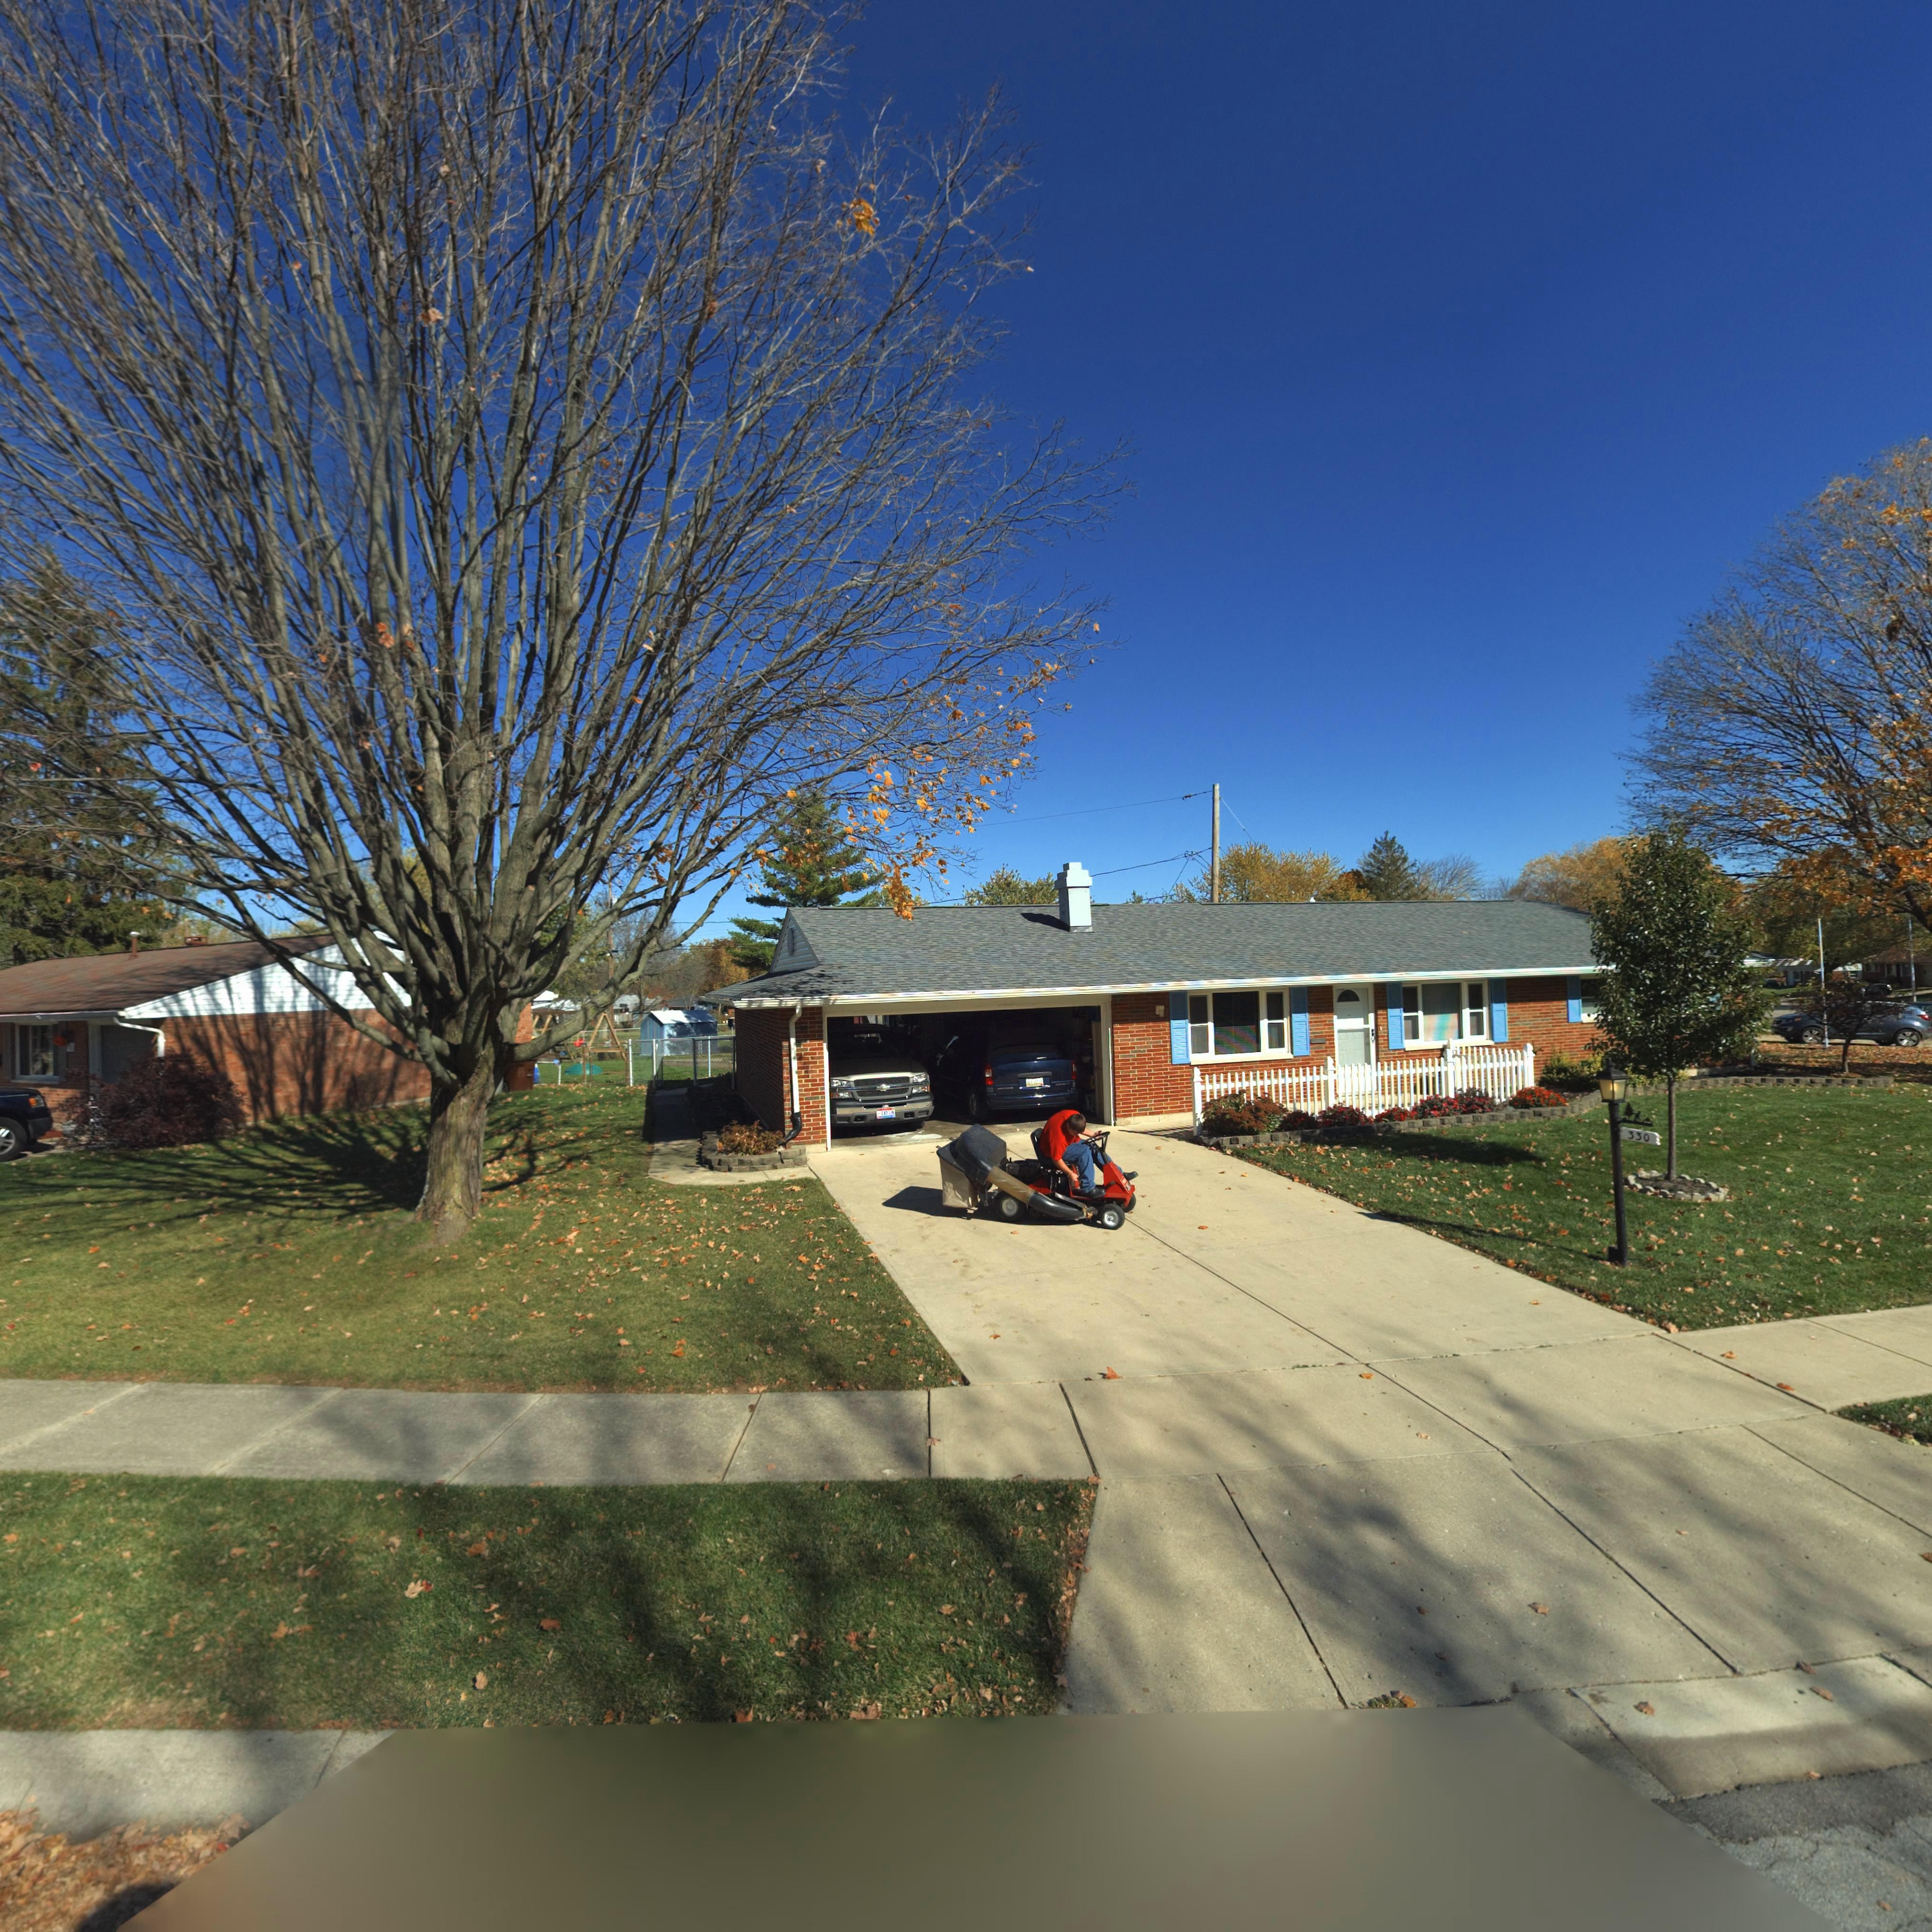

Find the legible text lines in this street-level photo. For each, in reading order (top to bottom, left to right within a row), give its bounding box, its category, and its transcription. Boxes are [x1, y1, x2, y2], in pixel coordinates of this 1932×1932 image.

[1627, 1130, 1651, 1144] StreetNumber: 330